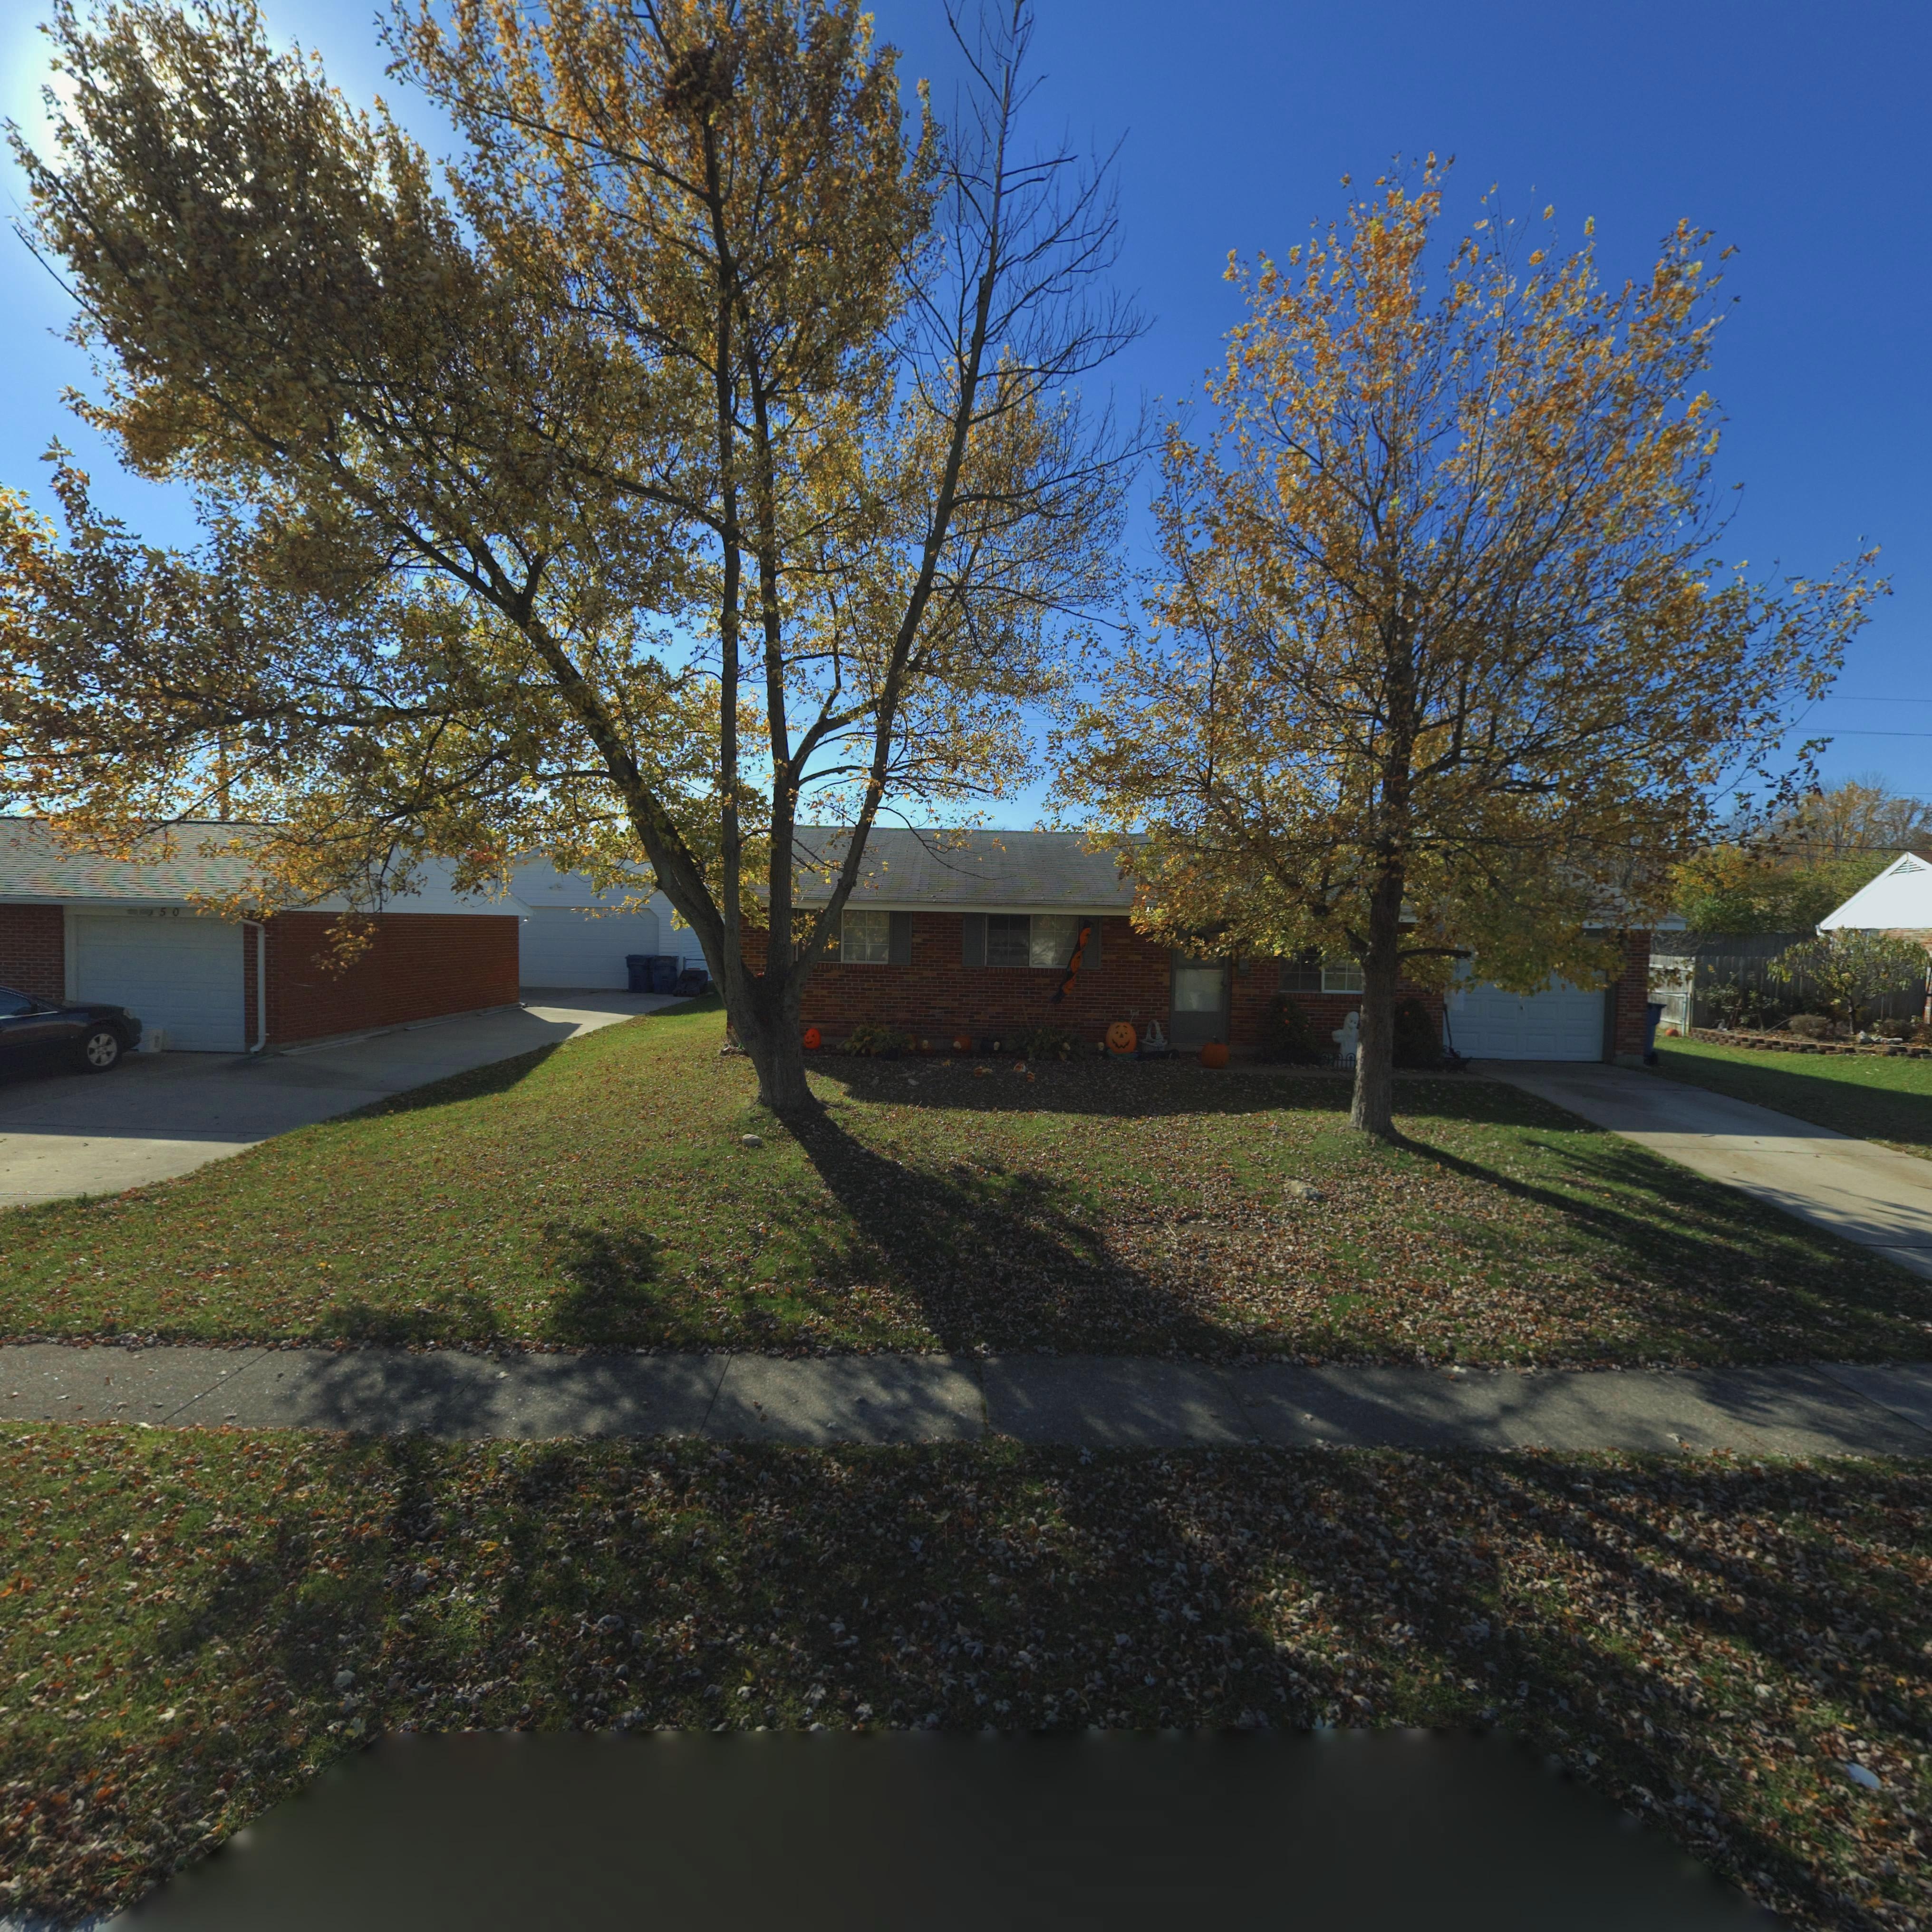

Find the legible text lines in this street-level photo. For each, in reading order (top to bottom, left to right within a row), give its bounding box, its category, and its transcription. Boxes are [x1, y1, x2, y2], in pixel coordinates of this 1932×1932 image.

[159, 907, 180, 917] StreetNumber: 50